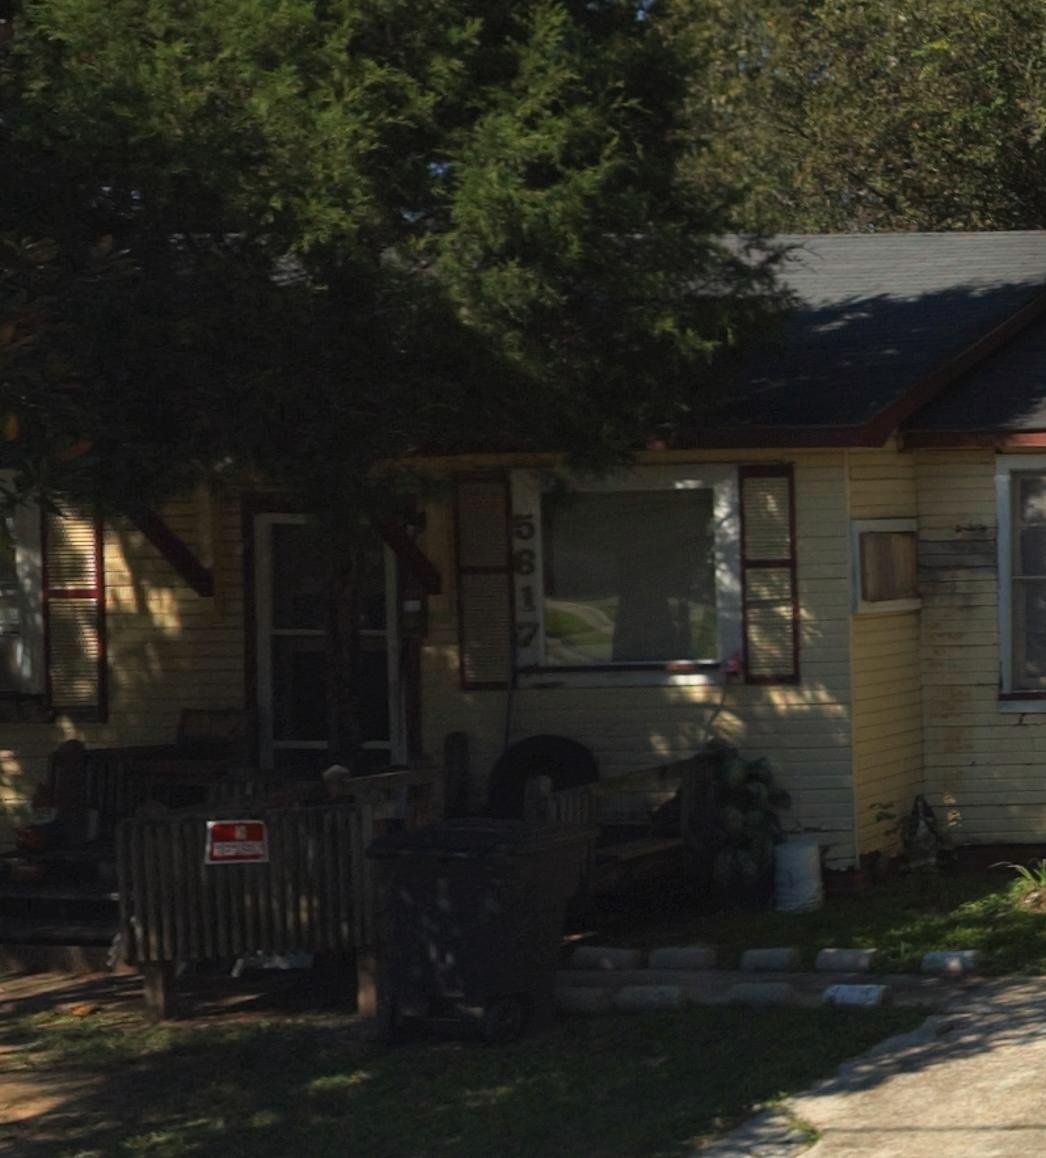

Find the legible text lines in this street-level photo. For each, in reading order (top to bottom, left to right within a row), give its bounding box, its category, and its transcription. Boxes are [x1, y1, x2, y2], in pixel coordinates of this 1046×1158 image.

[511, 510, 541, 649] StreetNumber: 5617
[233, 825, 248, 840] None: NO
[212, 841, 265, 856] None: TRESPASSING